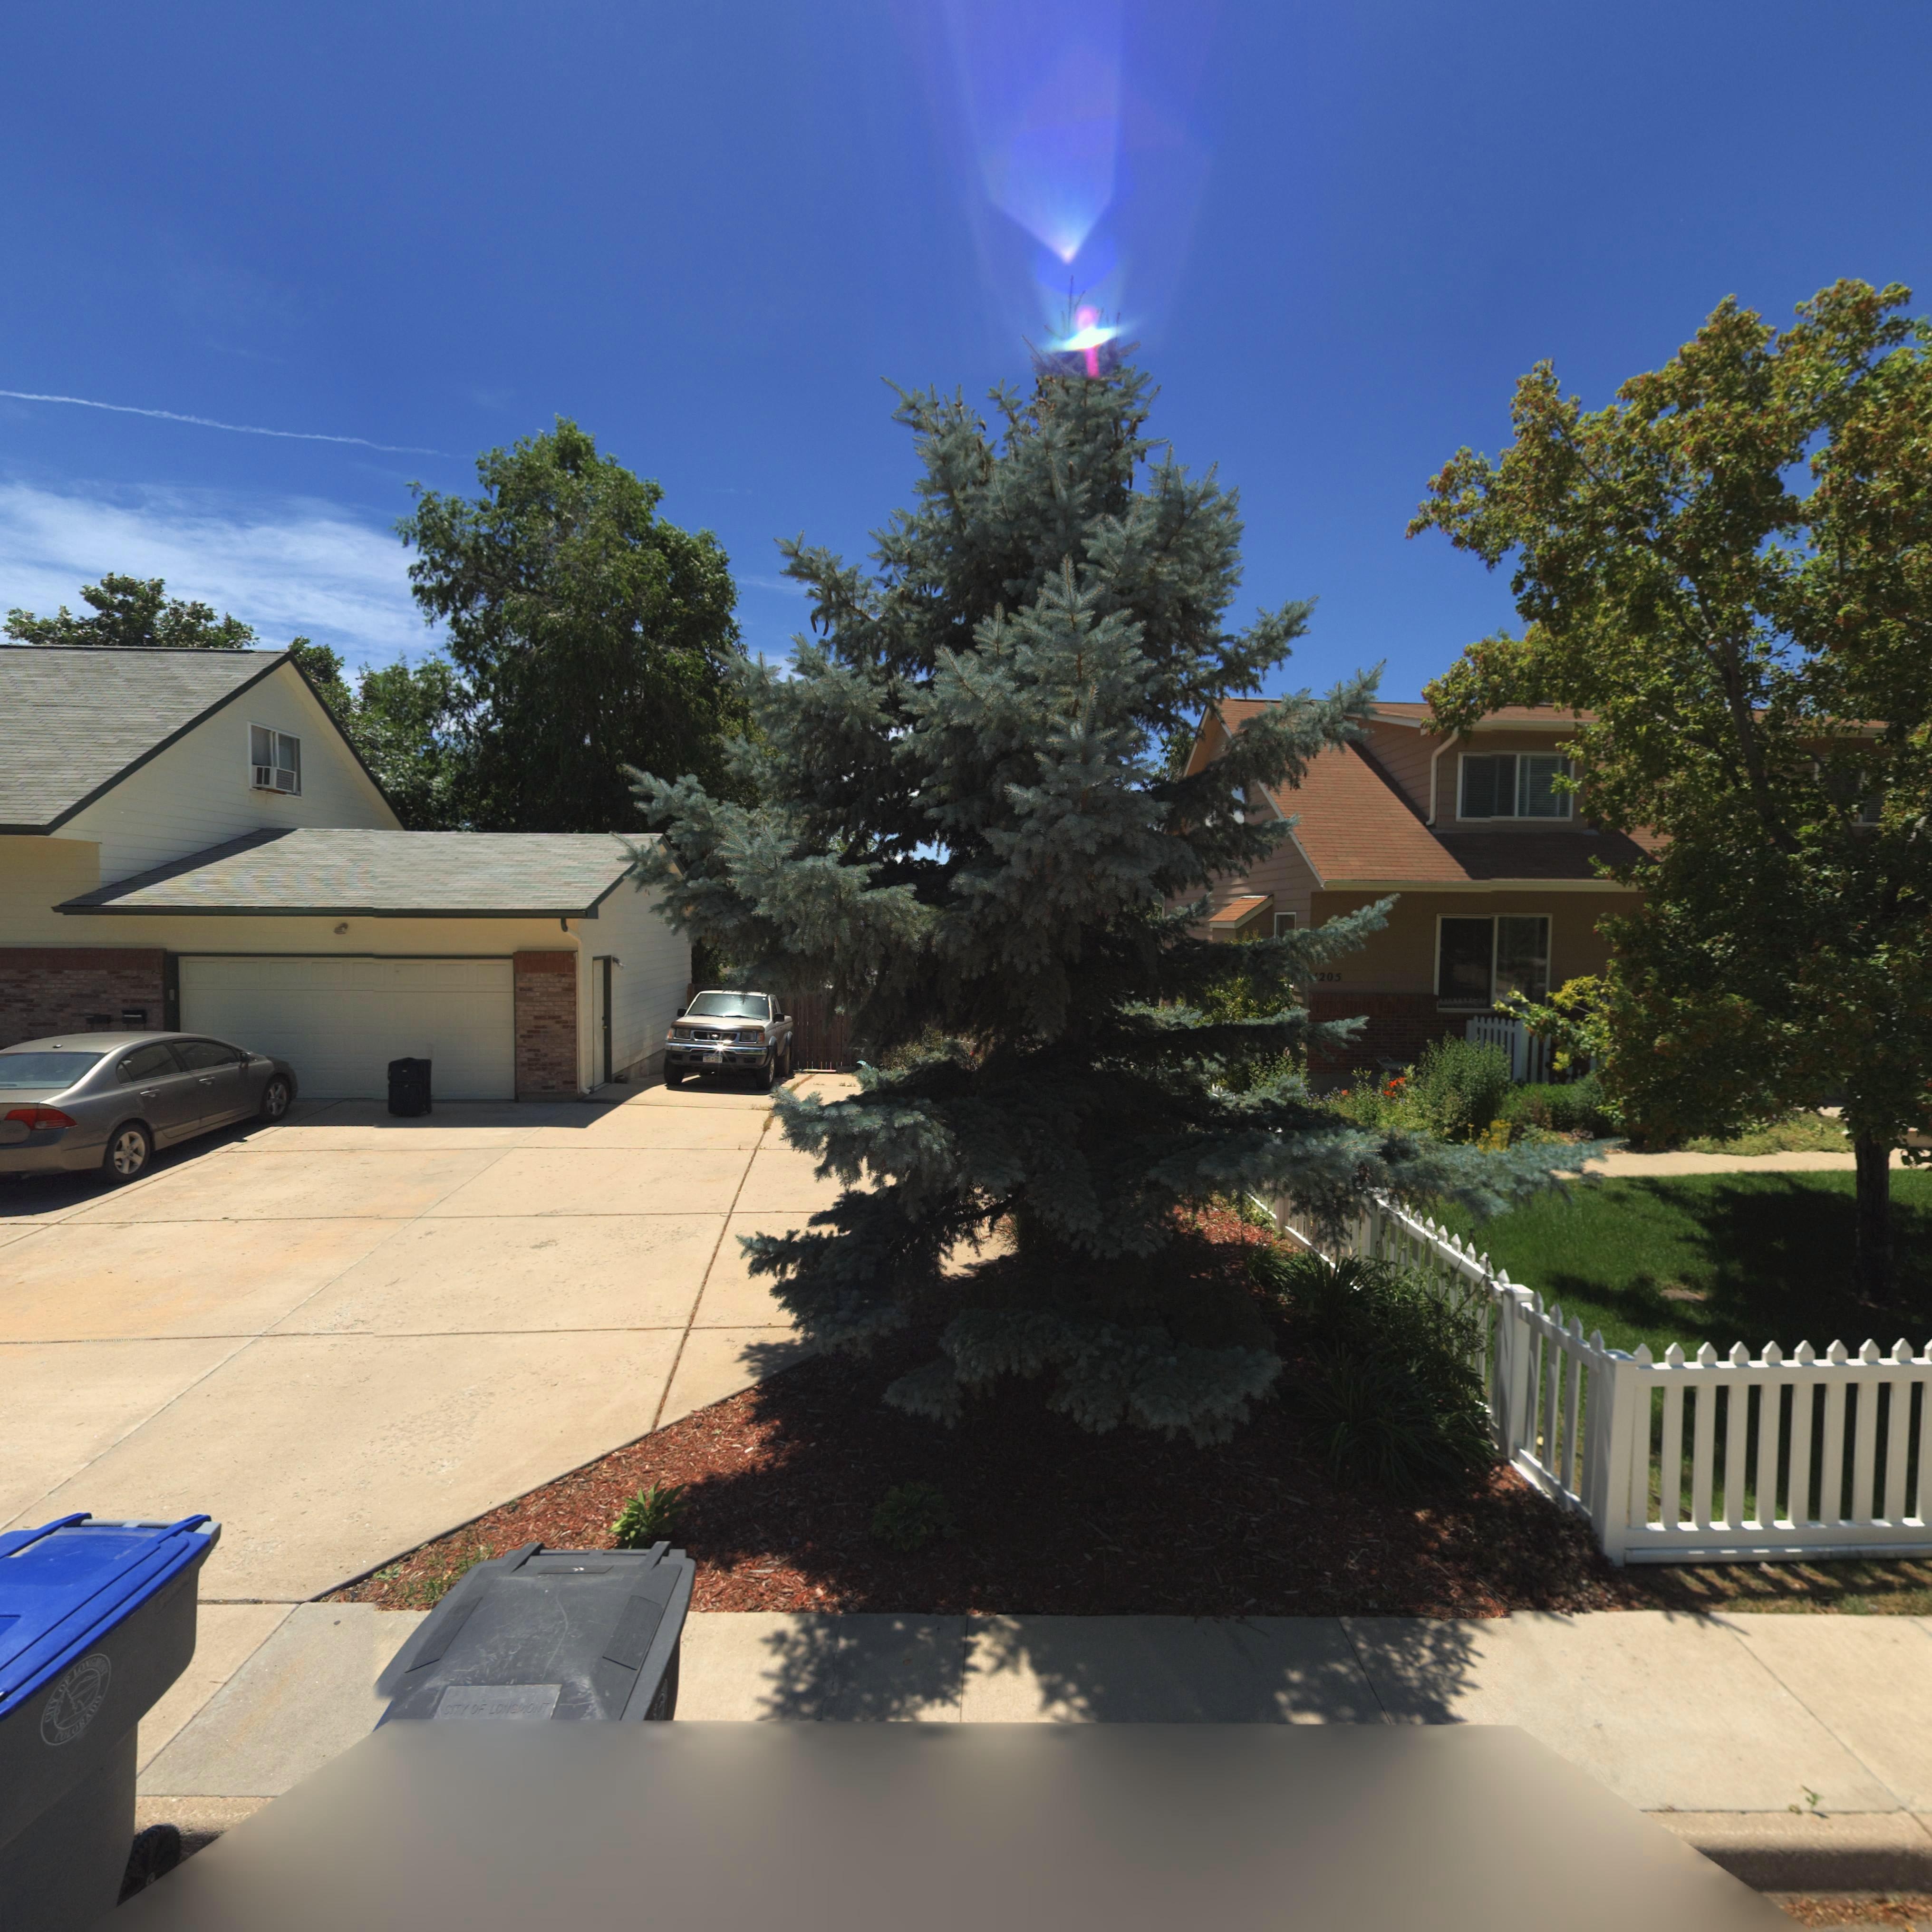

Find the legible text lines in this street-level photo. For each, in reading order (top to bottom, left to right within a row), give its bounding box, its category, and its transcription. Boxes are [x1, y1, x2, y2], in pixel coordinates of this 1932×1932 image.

[1312, 972, 1343, 982] StreetNumber: *205